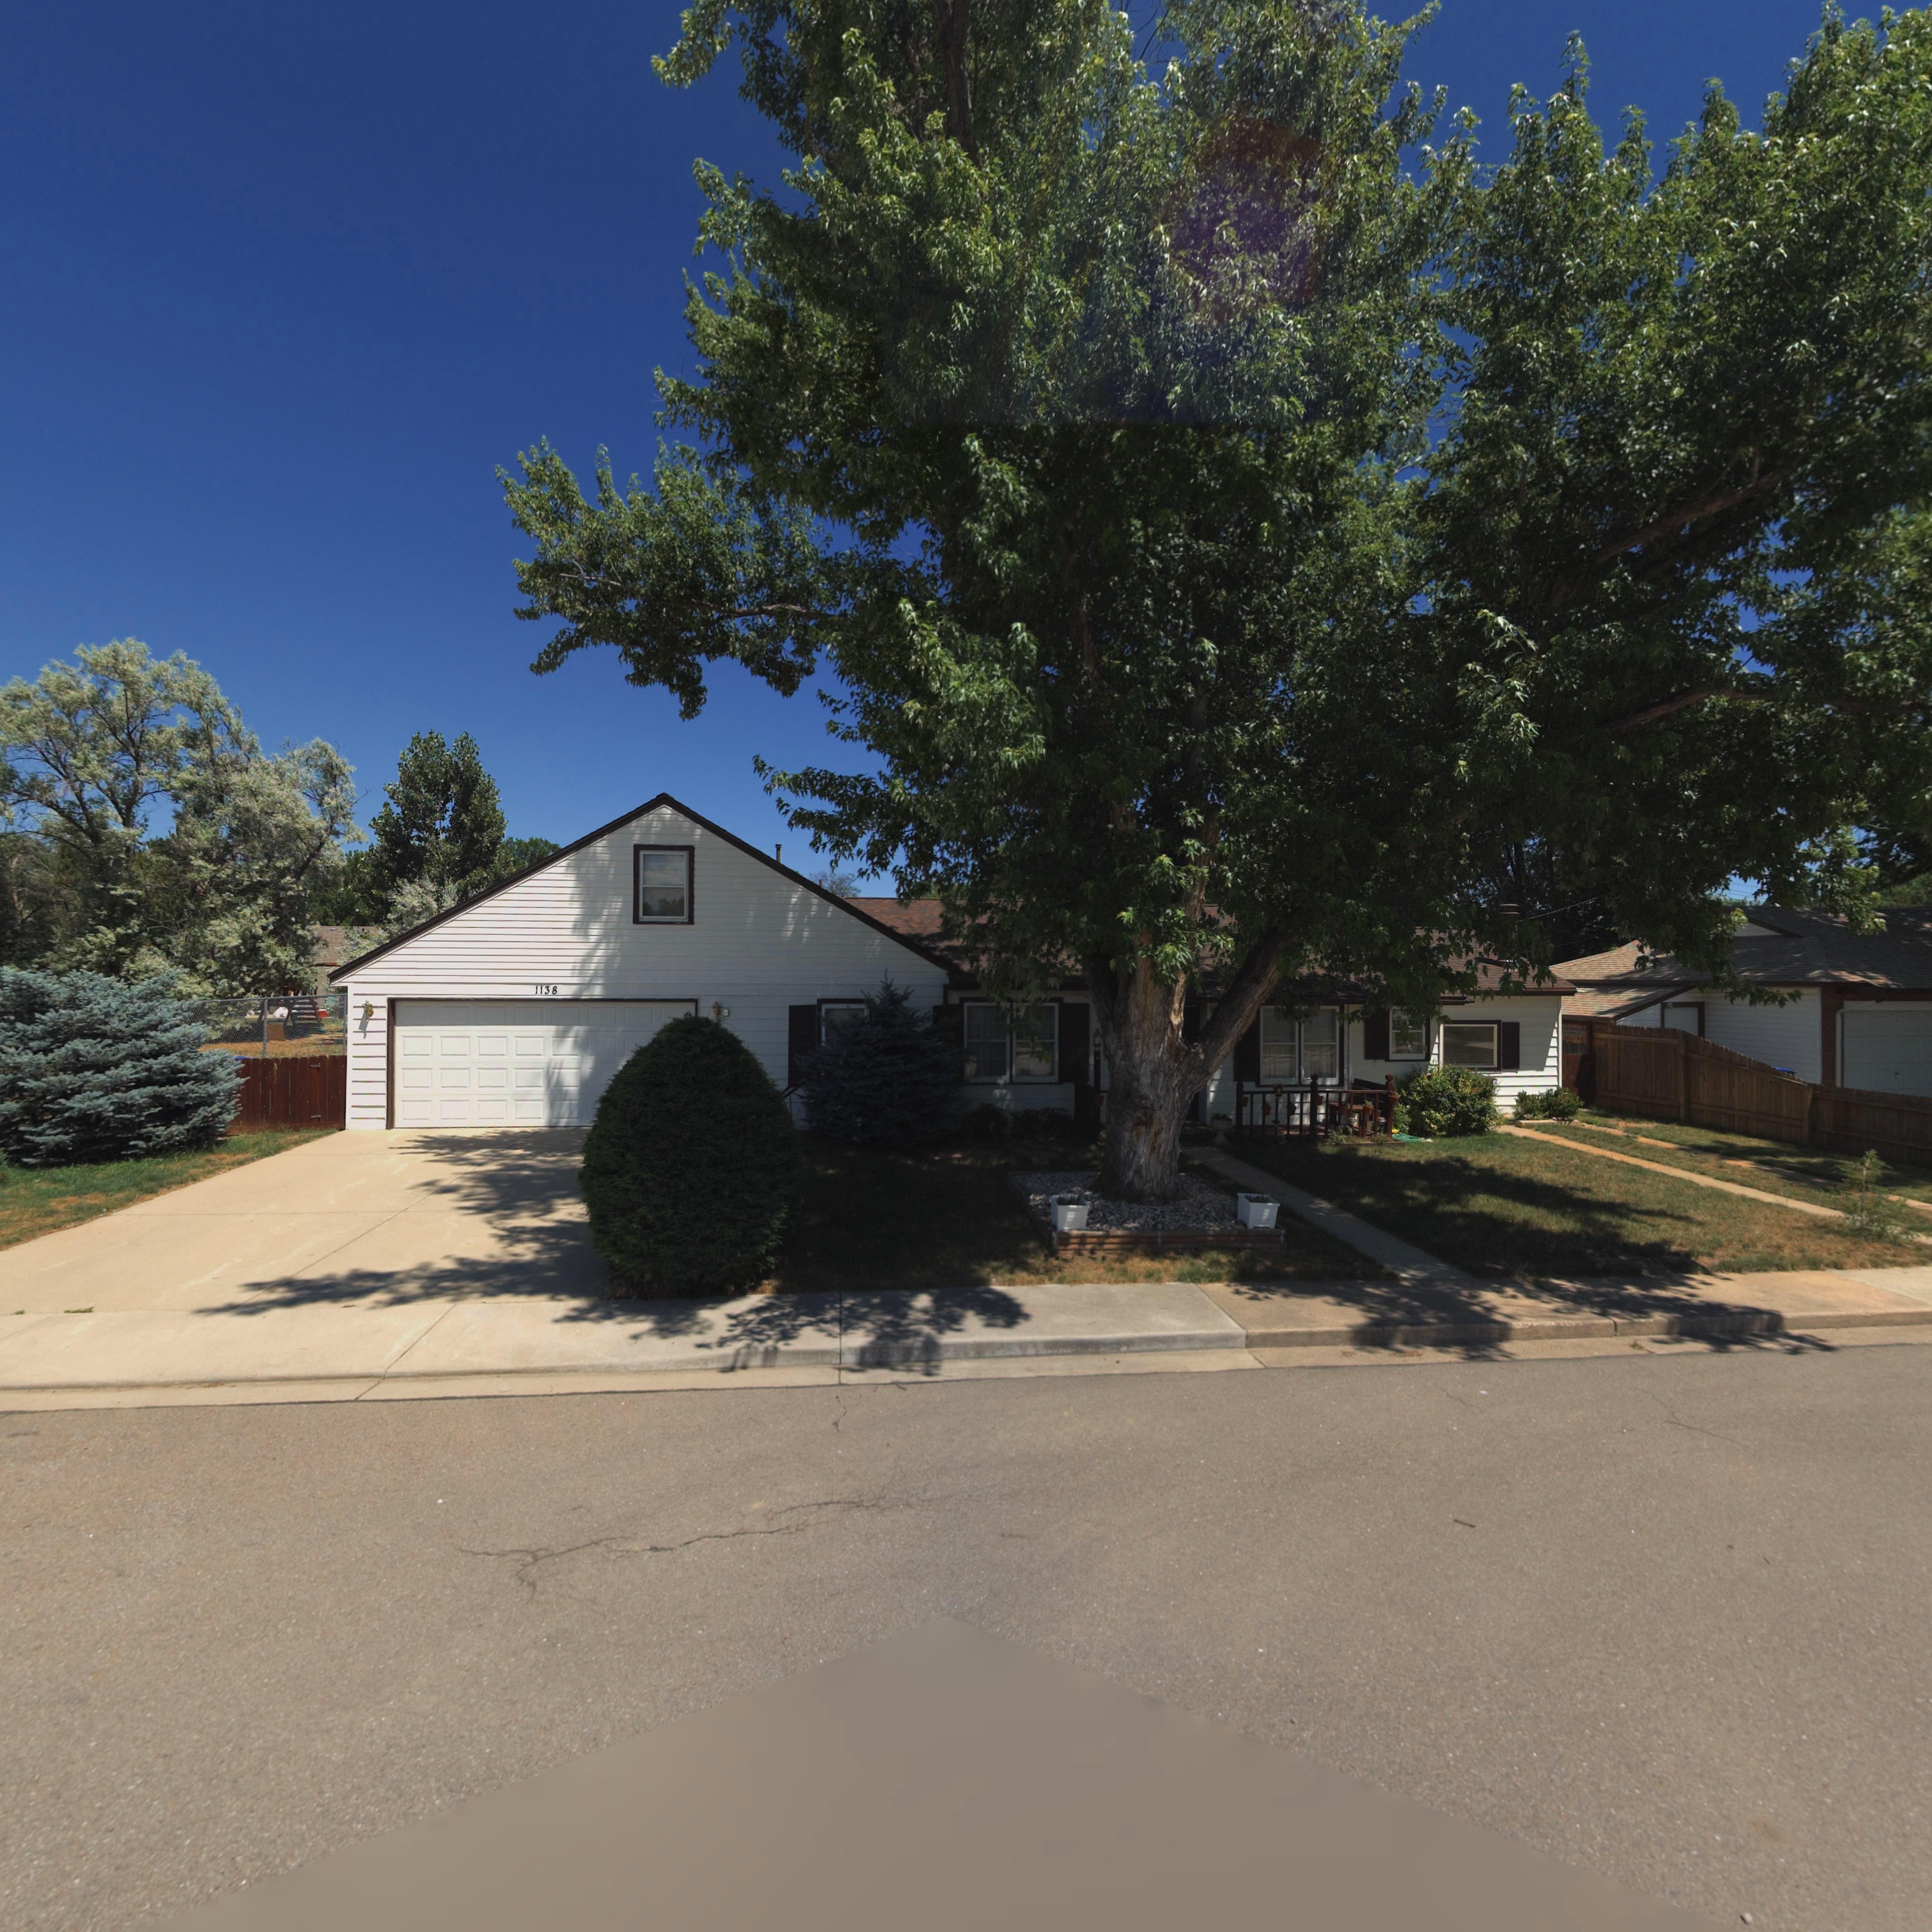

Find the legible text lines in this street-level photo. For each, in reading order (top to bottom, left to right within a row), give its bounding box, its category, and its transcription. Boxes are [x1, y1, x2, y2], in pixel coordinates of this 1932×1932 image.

[535, 985, 558, 995] StreetNumber: 1138